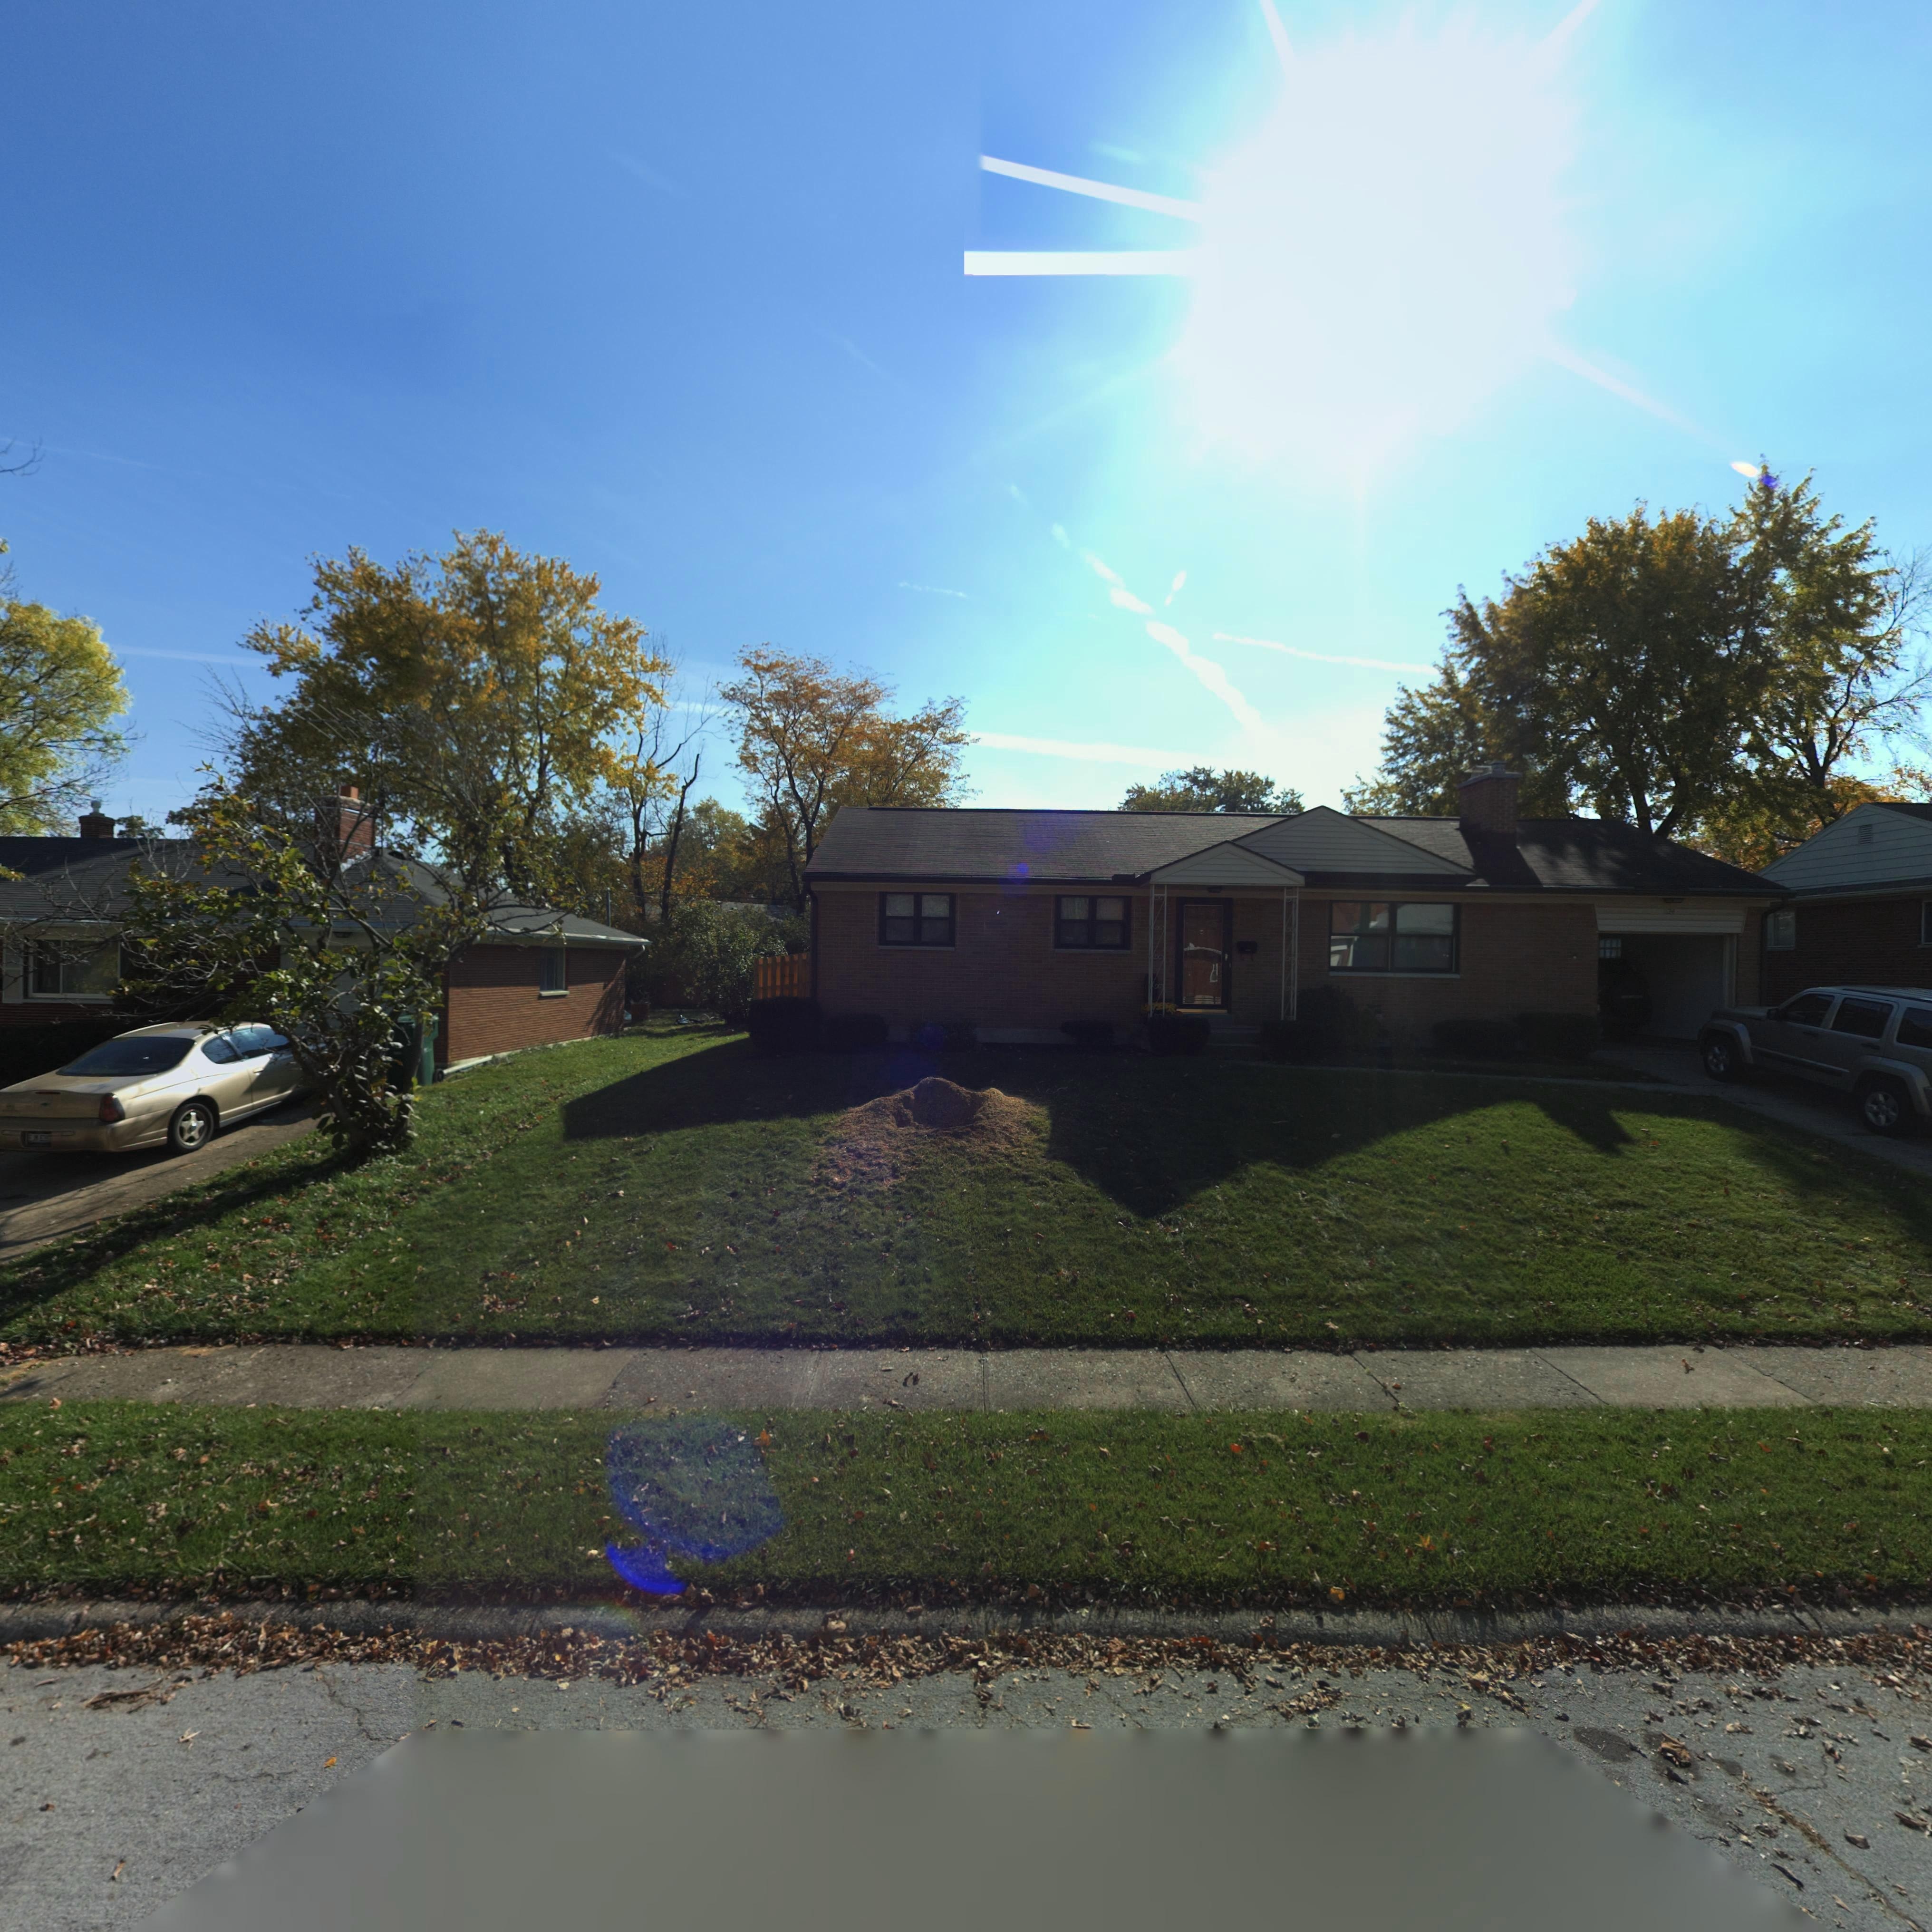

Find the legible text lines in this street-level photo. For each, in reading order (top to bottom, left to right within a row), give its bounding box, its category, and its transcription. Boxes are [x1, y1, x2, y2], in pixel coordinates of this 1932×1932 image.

[1665, 907, 1677, 916] StreetNumber: 24